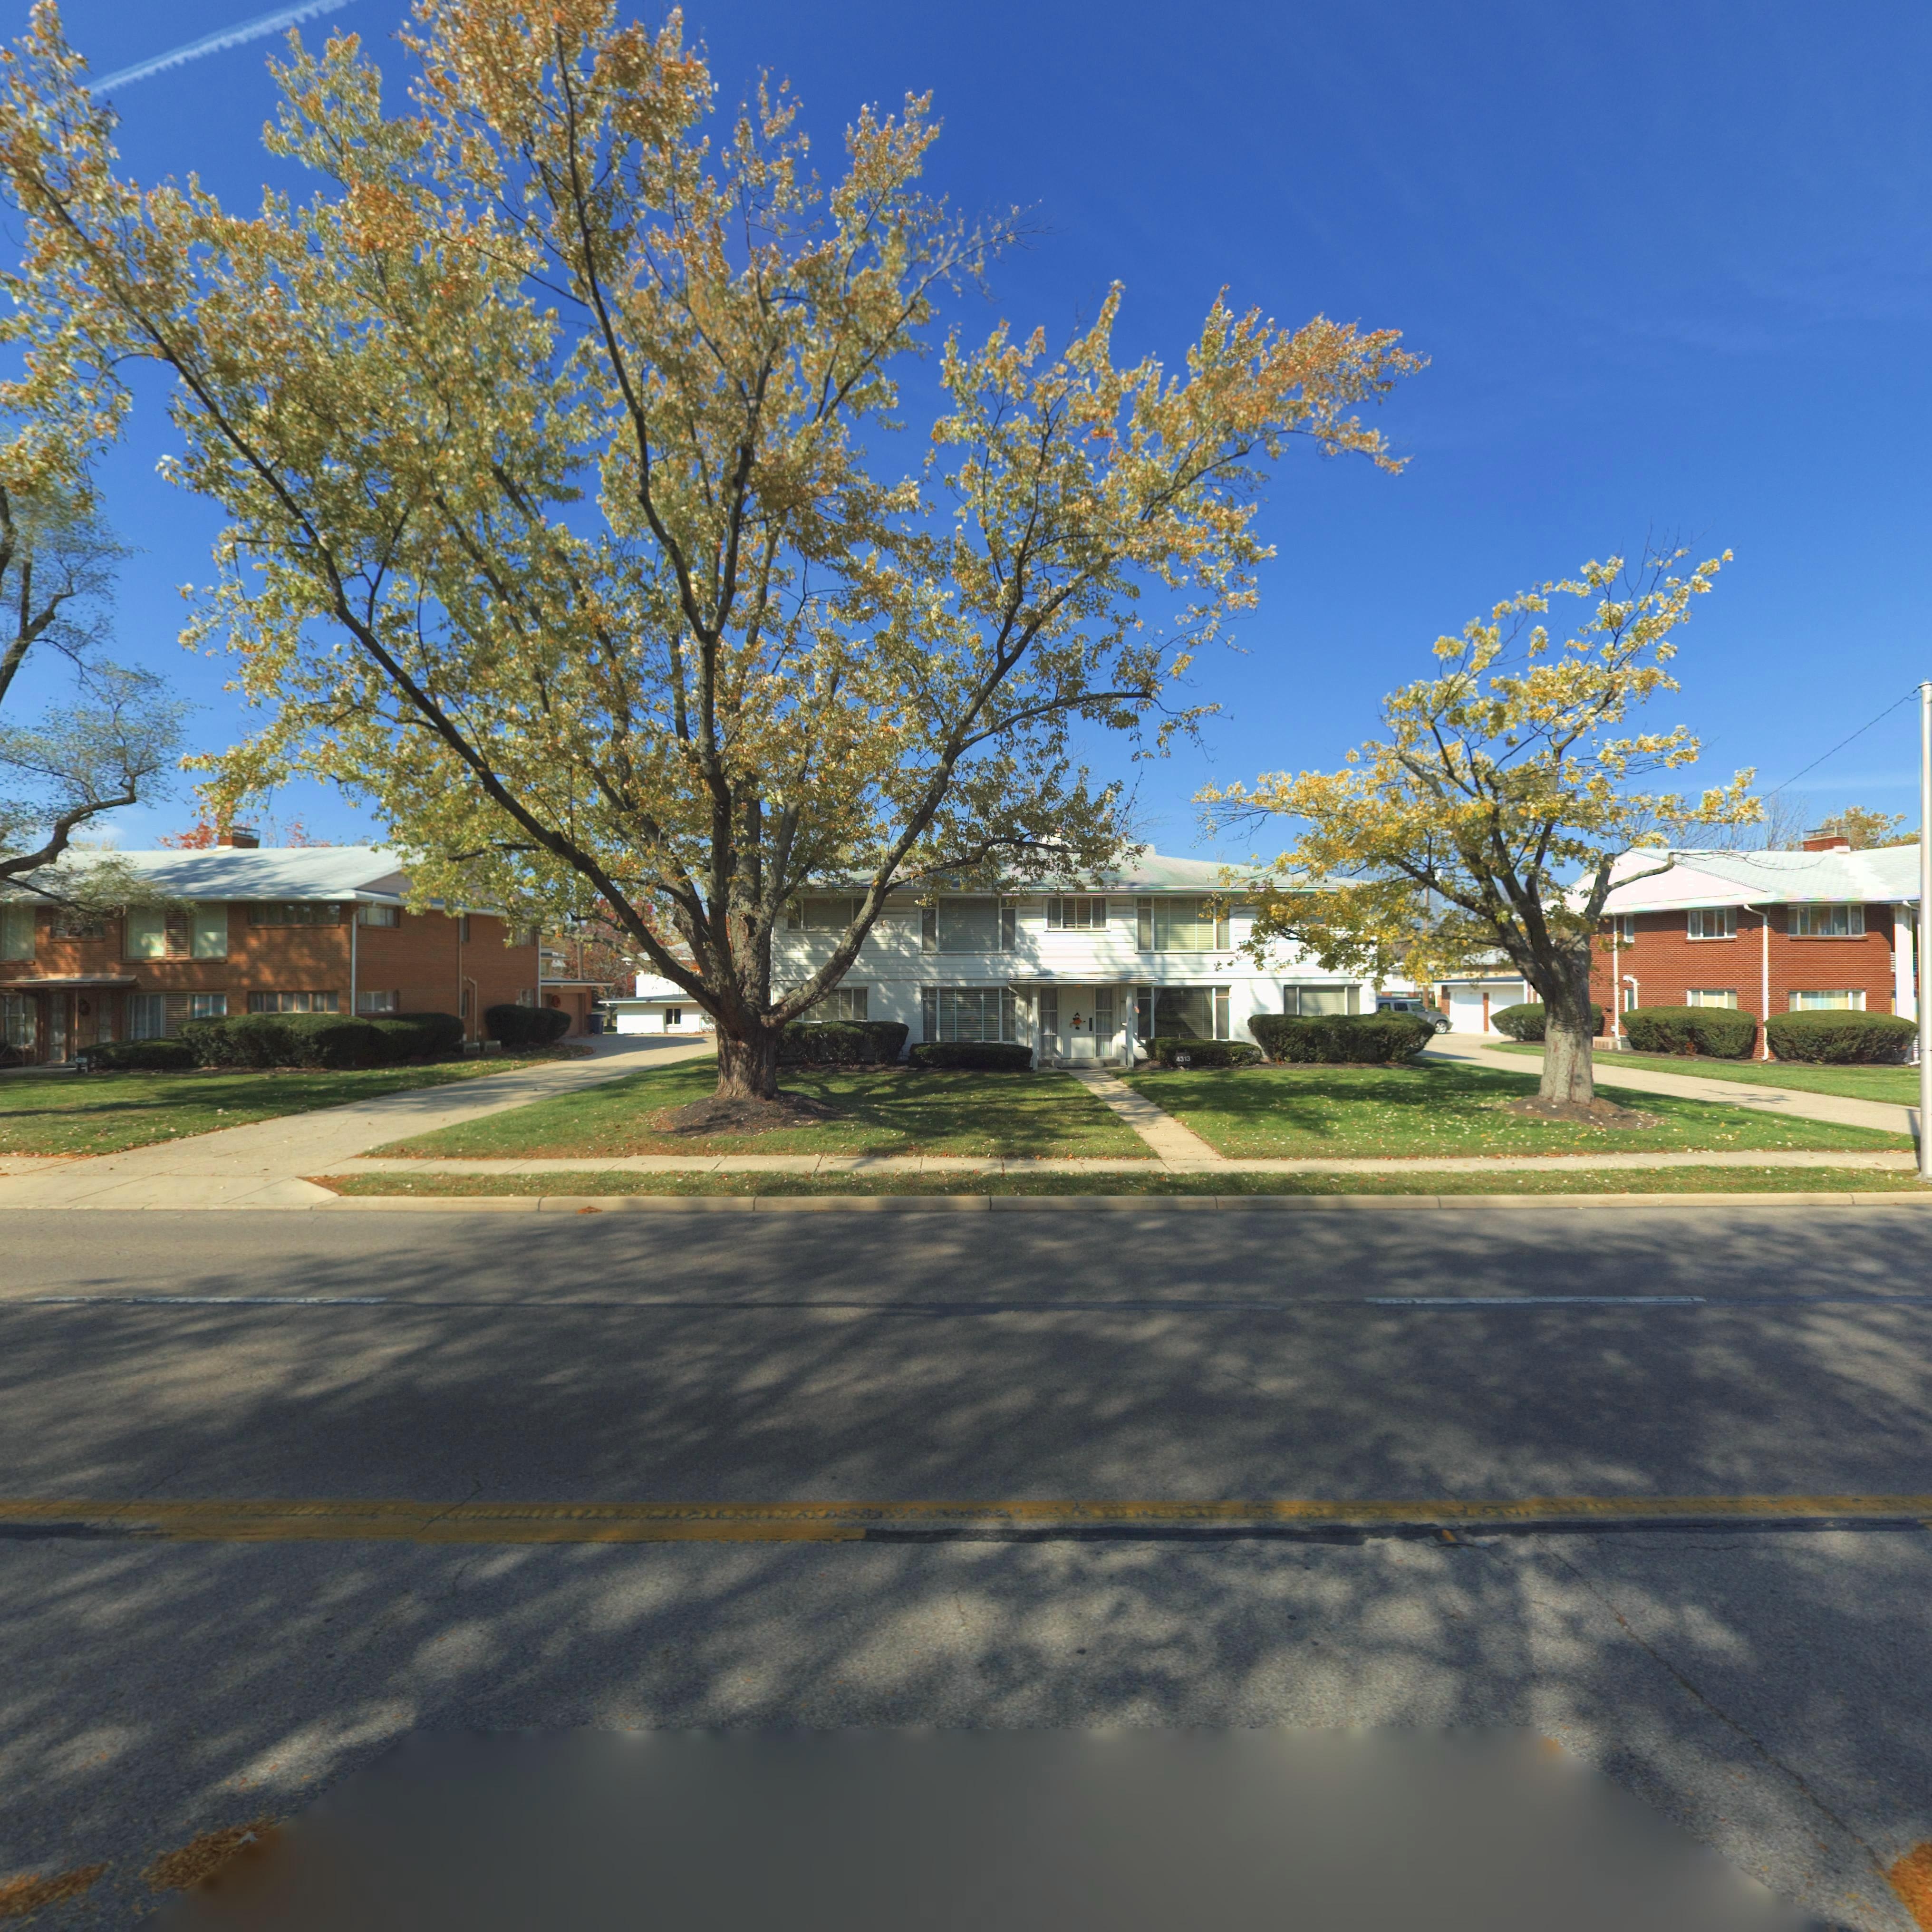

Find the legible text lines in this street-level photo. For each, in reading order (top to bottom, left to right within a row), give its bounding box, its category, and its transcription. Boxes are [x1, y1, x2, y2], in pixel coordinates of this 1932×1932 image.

[1175, 1054, 1191, 1063] StreetNumber: 4313